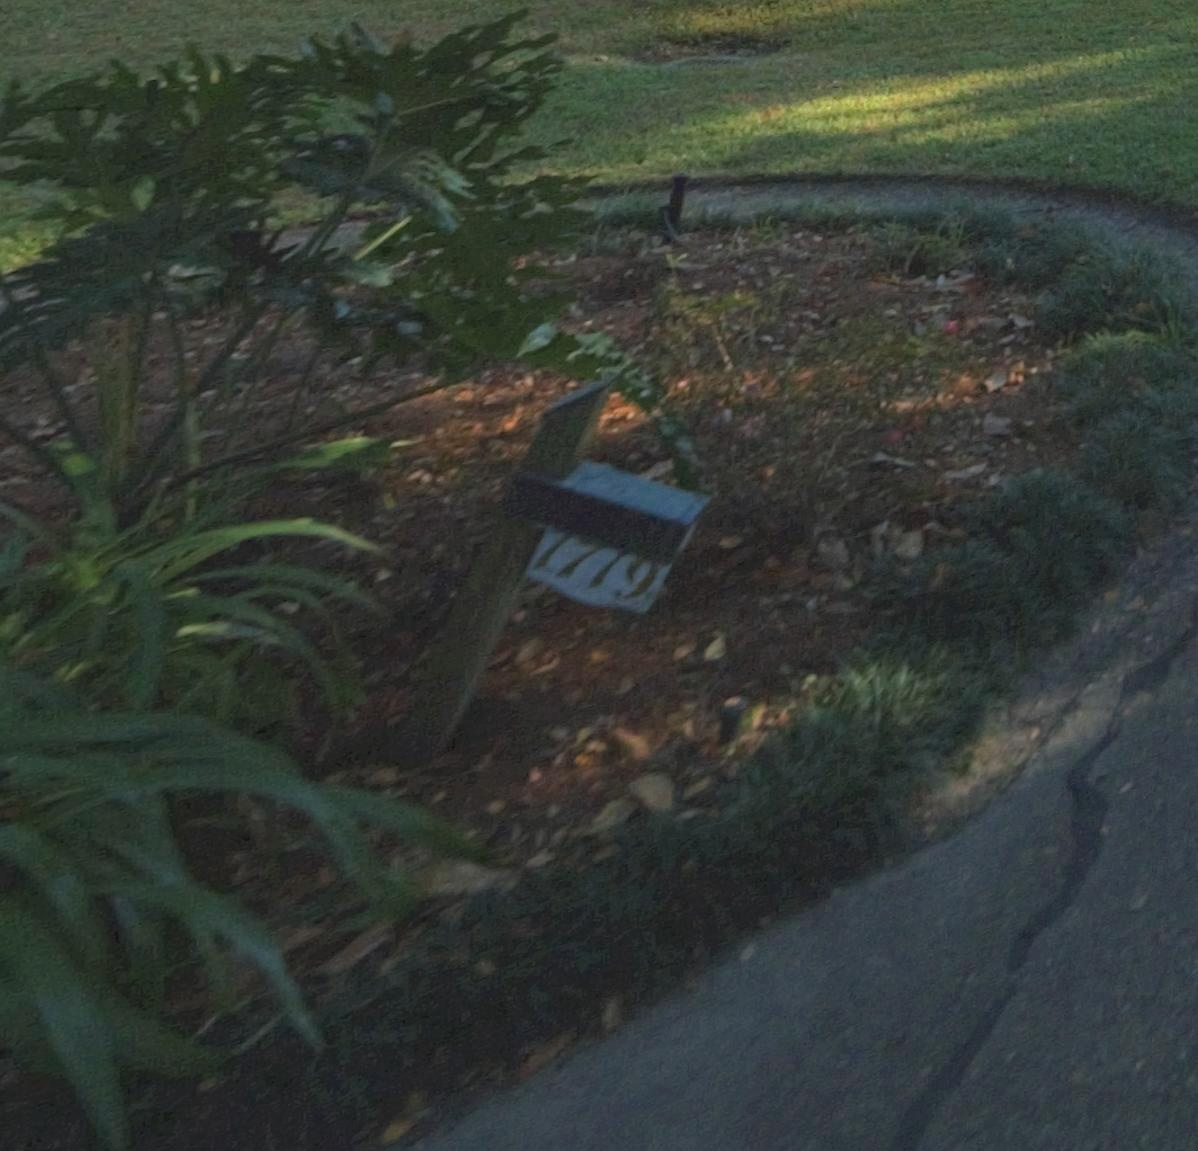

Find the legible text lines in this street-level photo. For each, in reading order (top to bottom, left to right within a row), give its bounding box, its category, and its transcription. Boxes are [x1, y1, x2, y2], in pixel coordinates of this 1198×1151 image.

[526, 519, 672, 614] StreetNumber: 7779